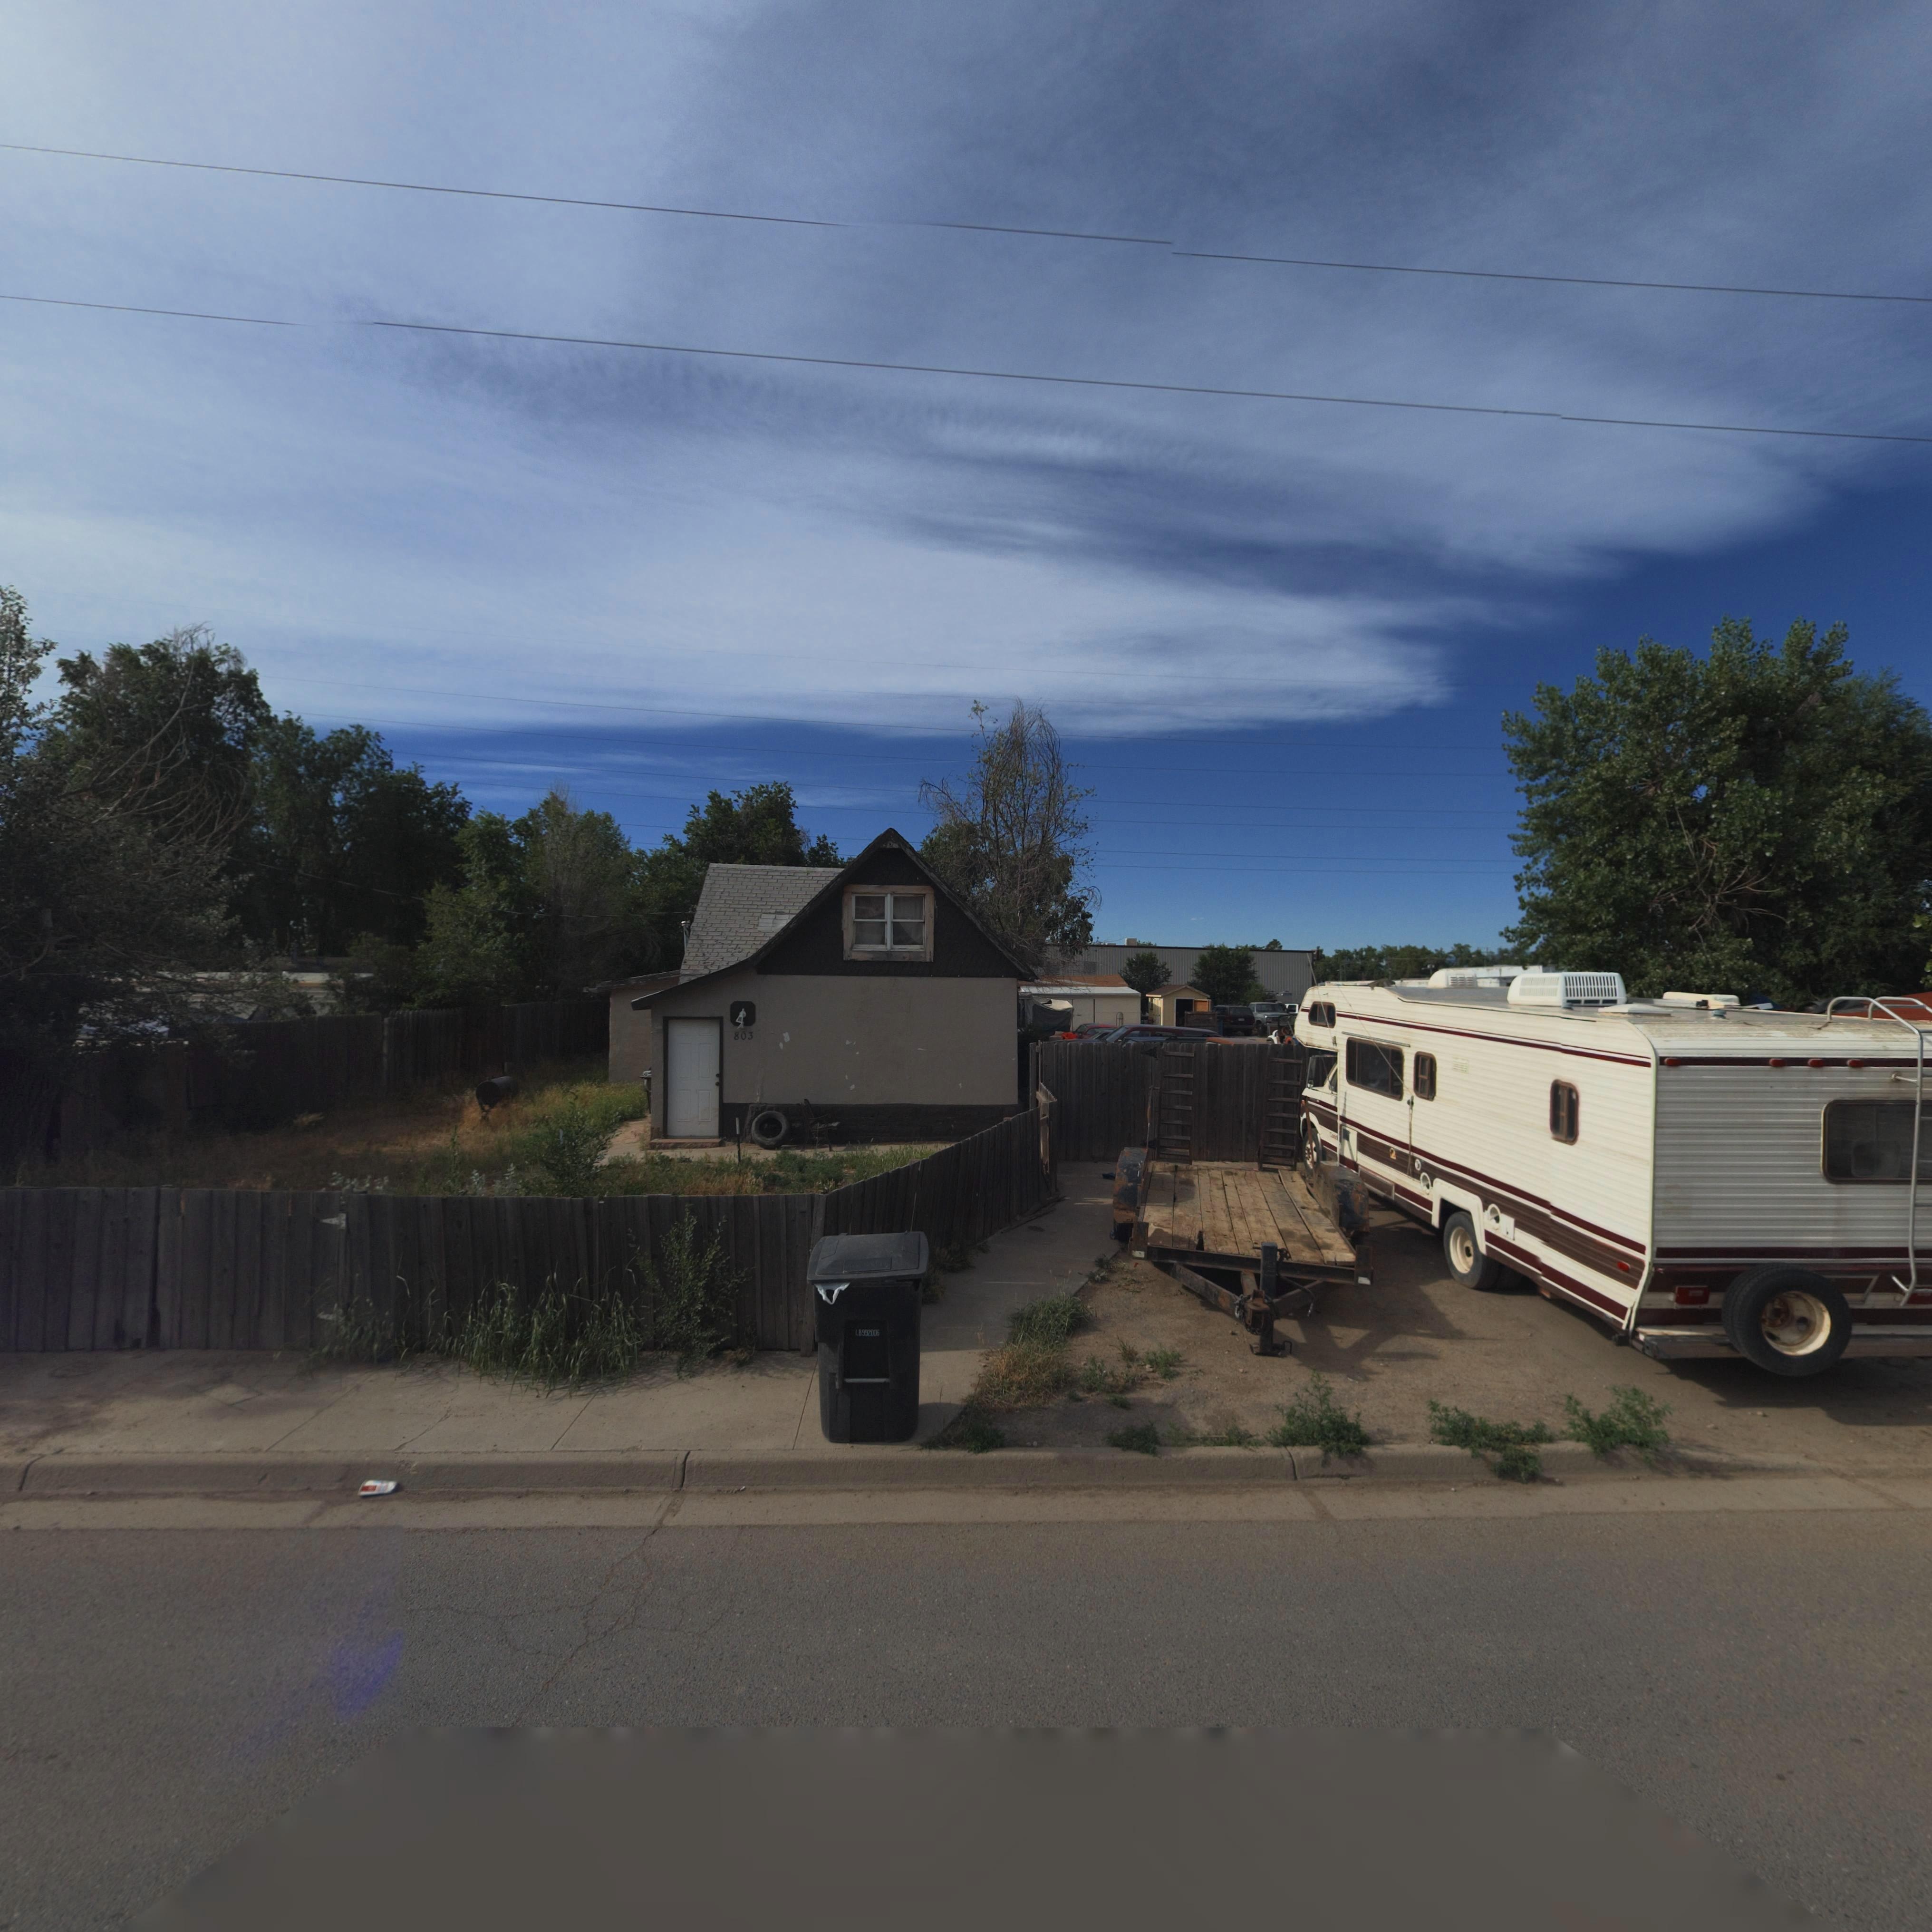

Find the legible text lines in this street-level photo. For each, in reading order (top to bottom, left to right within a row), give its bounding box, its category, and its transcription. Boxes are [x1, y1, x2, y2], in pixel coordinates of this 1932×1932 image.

[734, 1031, 753, 1040] StreetNumber: 803